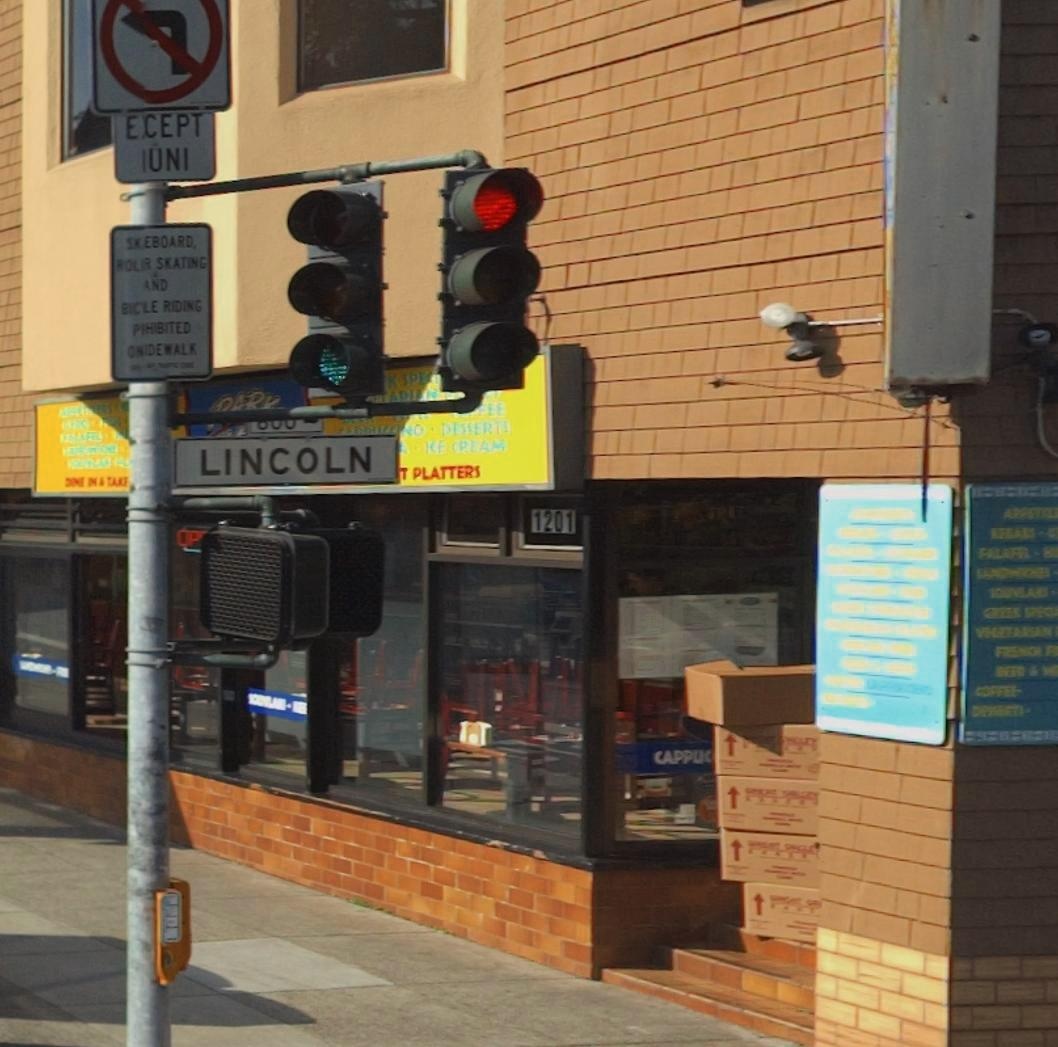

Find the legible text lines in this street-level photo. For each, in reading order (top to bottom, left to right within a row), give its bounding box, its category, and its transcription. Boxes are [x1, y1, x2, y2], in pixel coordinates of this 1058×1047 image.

[124, 112, 204, 141] None: E*CEPT
[139, 143, 189, 173] None: IUNI
[125, 233, 195, 252] None: SK*EBOARD
[114, 255, 207, 274] None: ROLR SKATING
[142, 276, 169, 293] None: AND
[119, 298, 203, 317] None: B*C*LE RIDING
[131, 319, 192, 338] None: P*HIBITED
[127, 341, 198, 359] None: ON*DEWALK
[386, 368, 440, 389] None: K SP**
[441, 417, 511, 437] None: DESSERTS
[423, 438, 508, 455] None: ICE CREAM
[199, 444, 374, 478] StreetName: LINCOLN
[412, 463, 482, 481] None: PLATTERS
[533, 510, 575, 533] StreetNumber: 1201
[653, 749, 707, 767] None: CAPPU